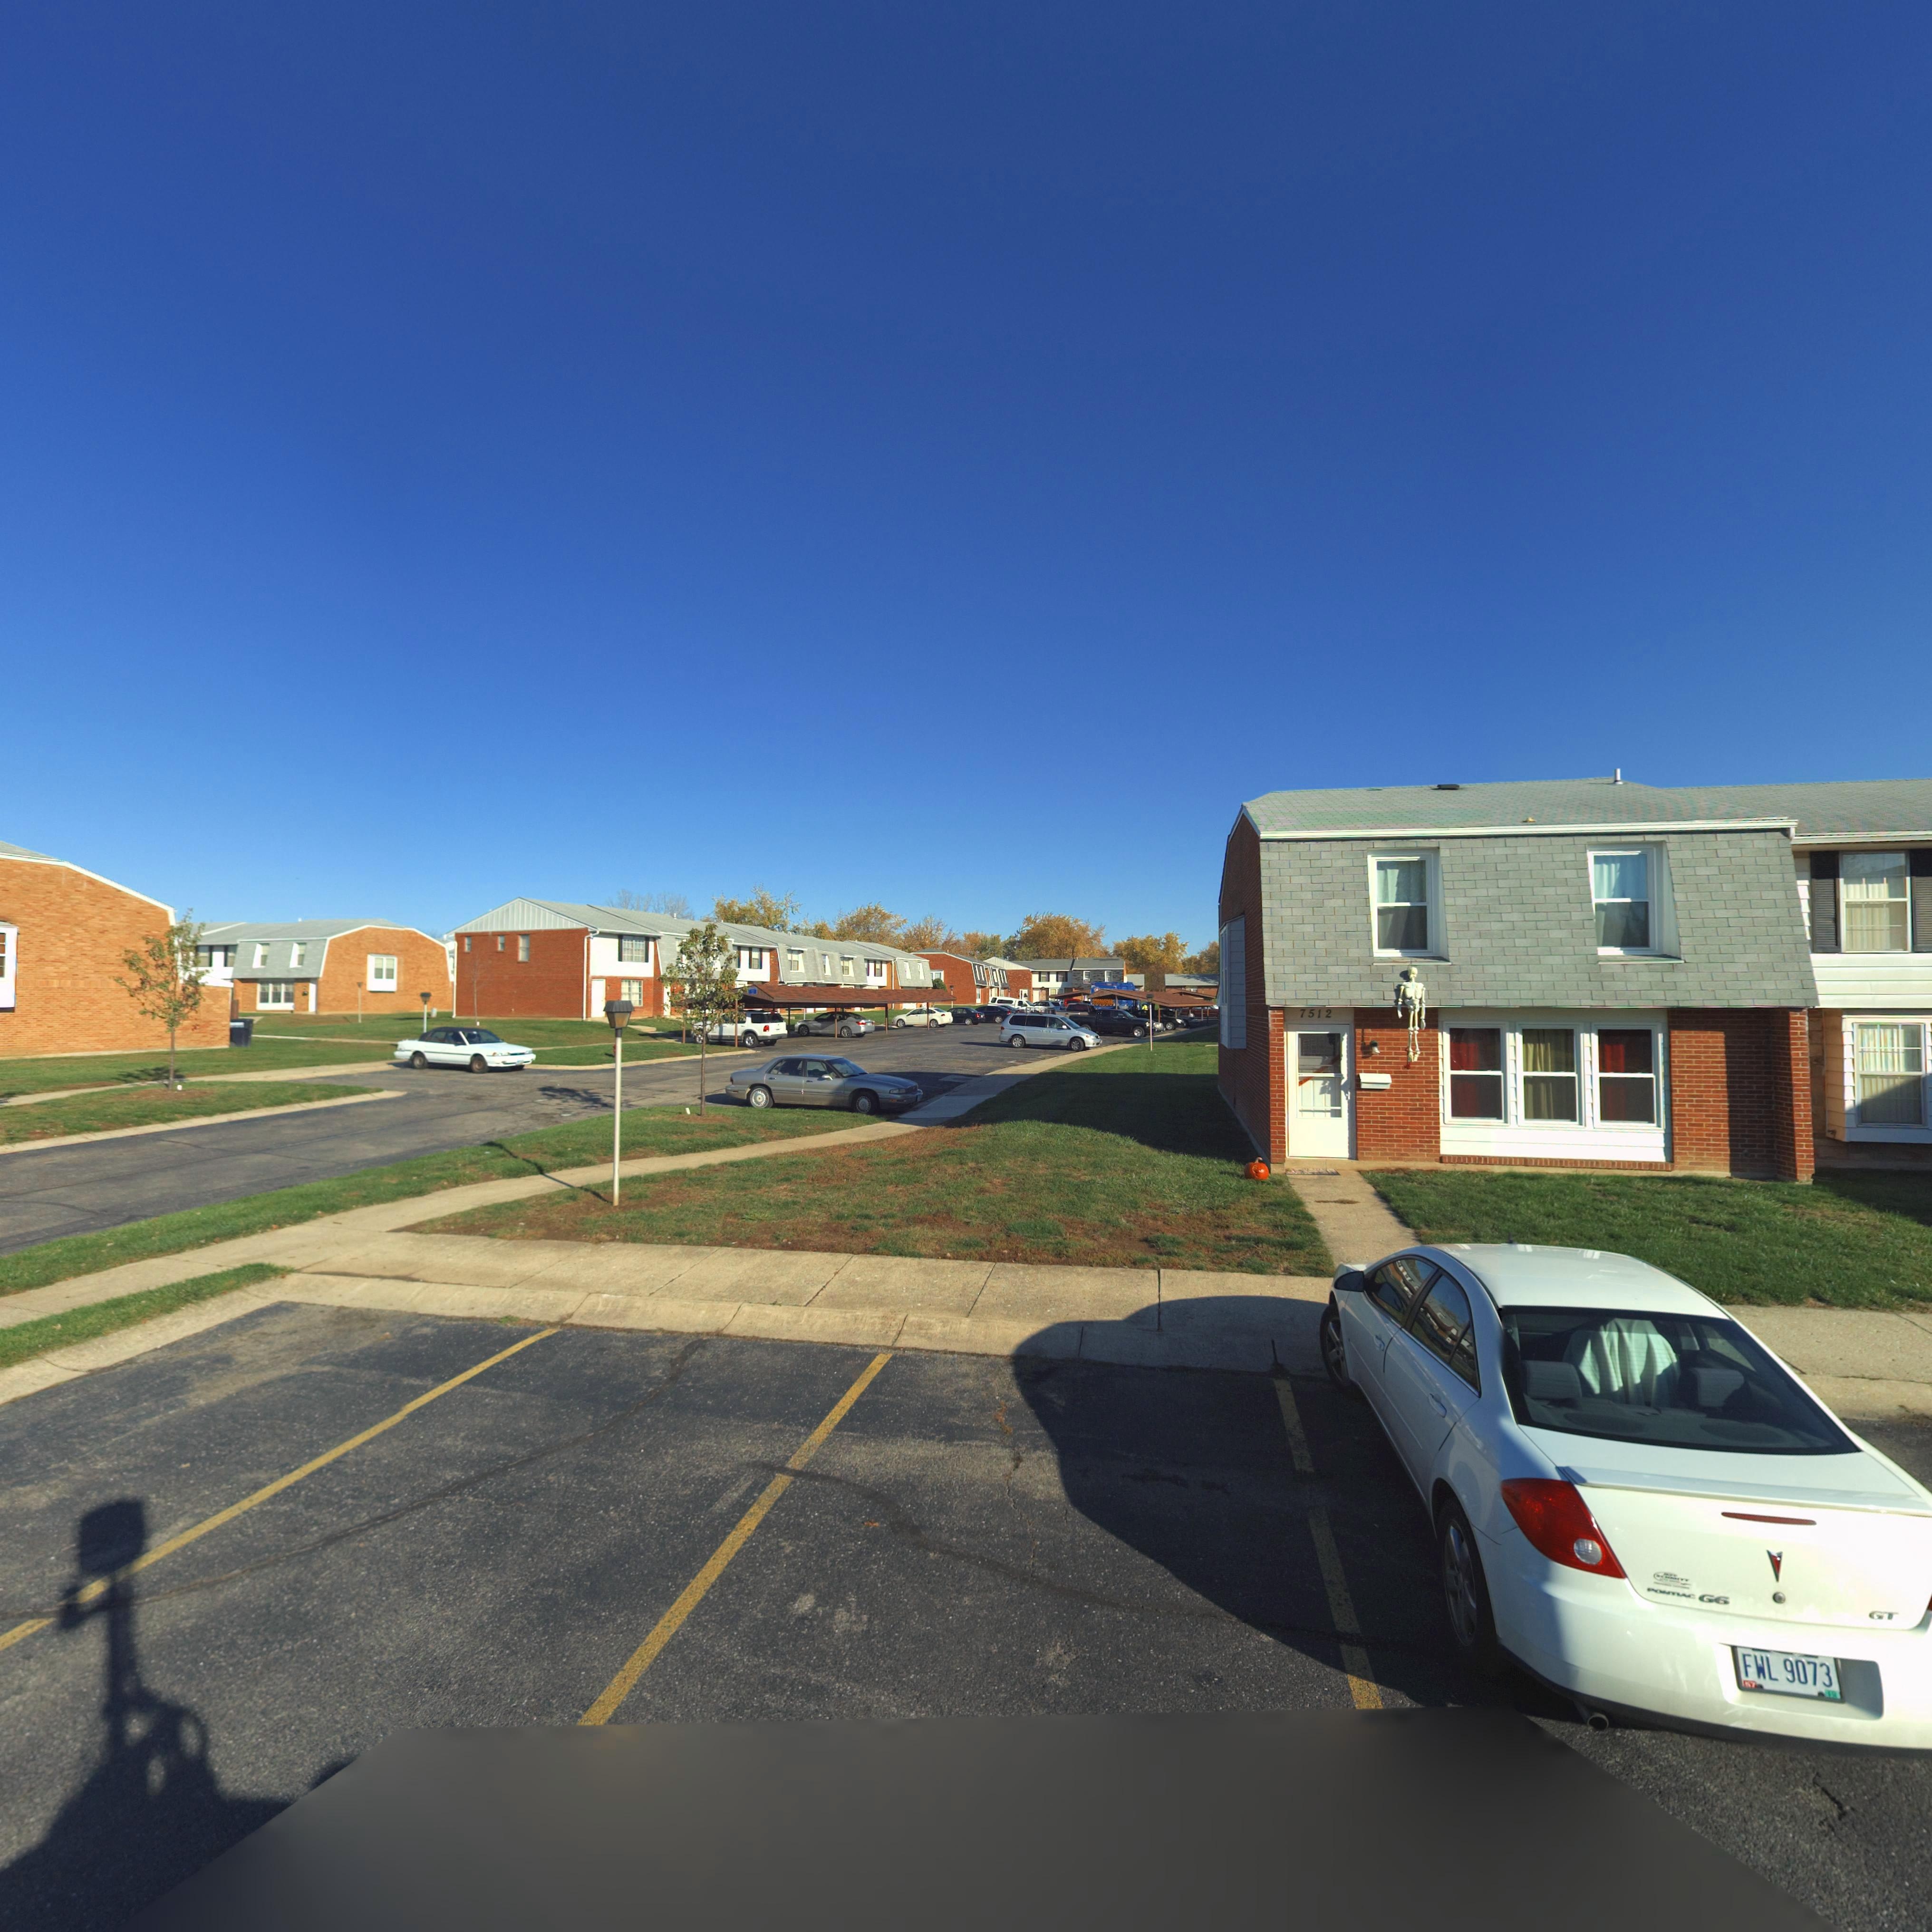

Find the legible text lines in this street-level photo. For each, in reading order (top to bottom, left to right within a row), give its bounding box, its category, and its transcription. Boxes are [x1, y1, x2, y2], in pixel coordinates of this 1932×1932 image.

[1299, 1008, 1332, 1018] StreetNumber: 7512